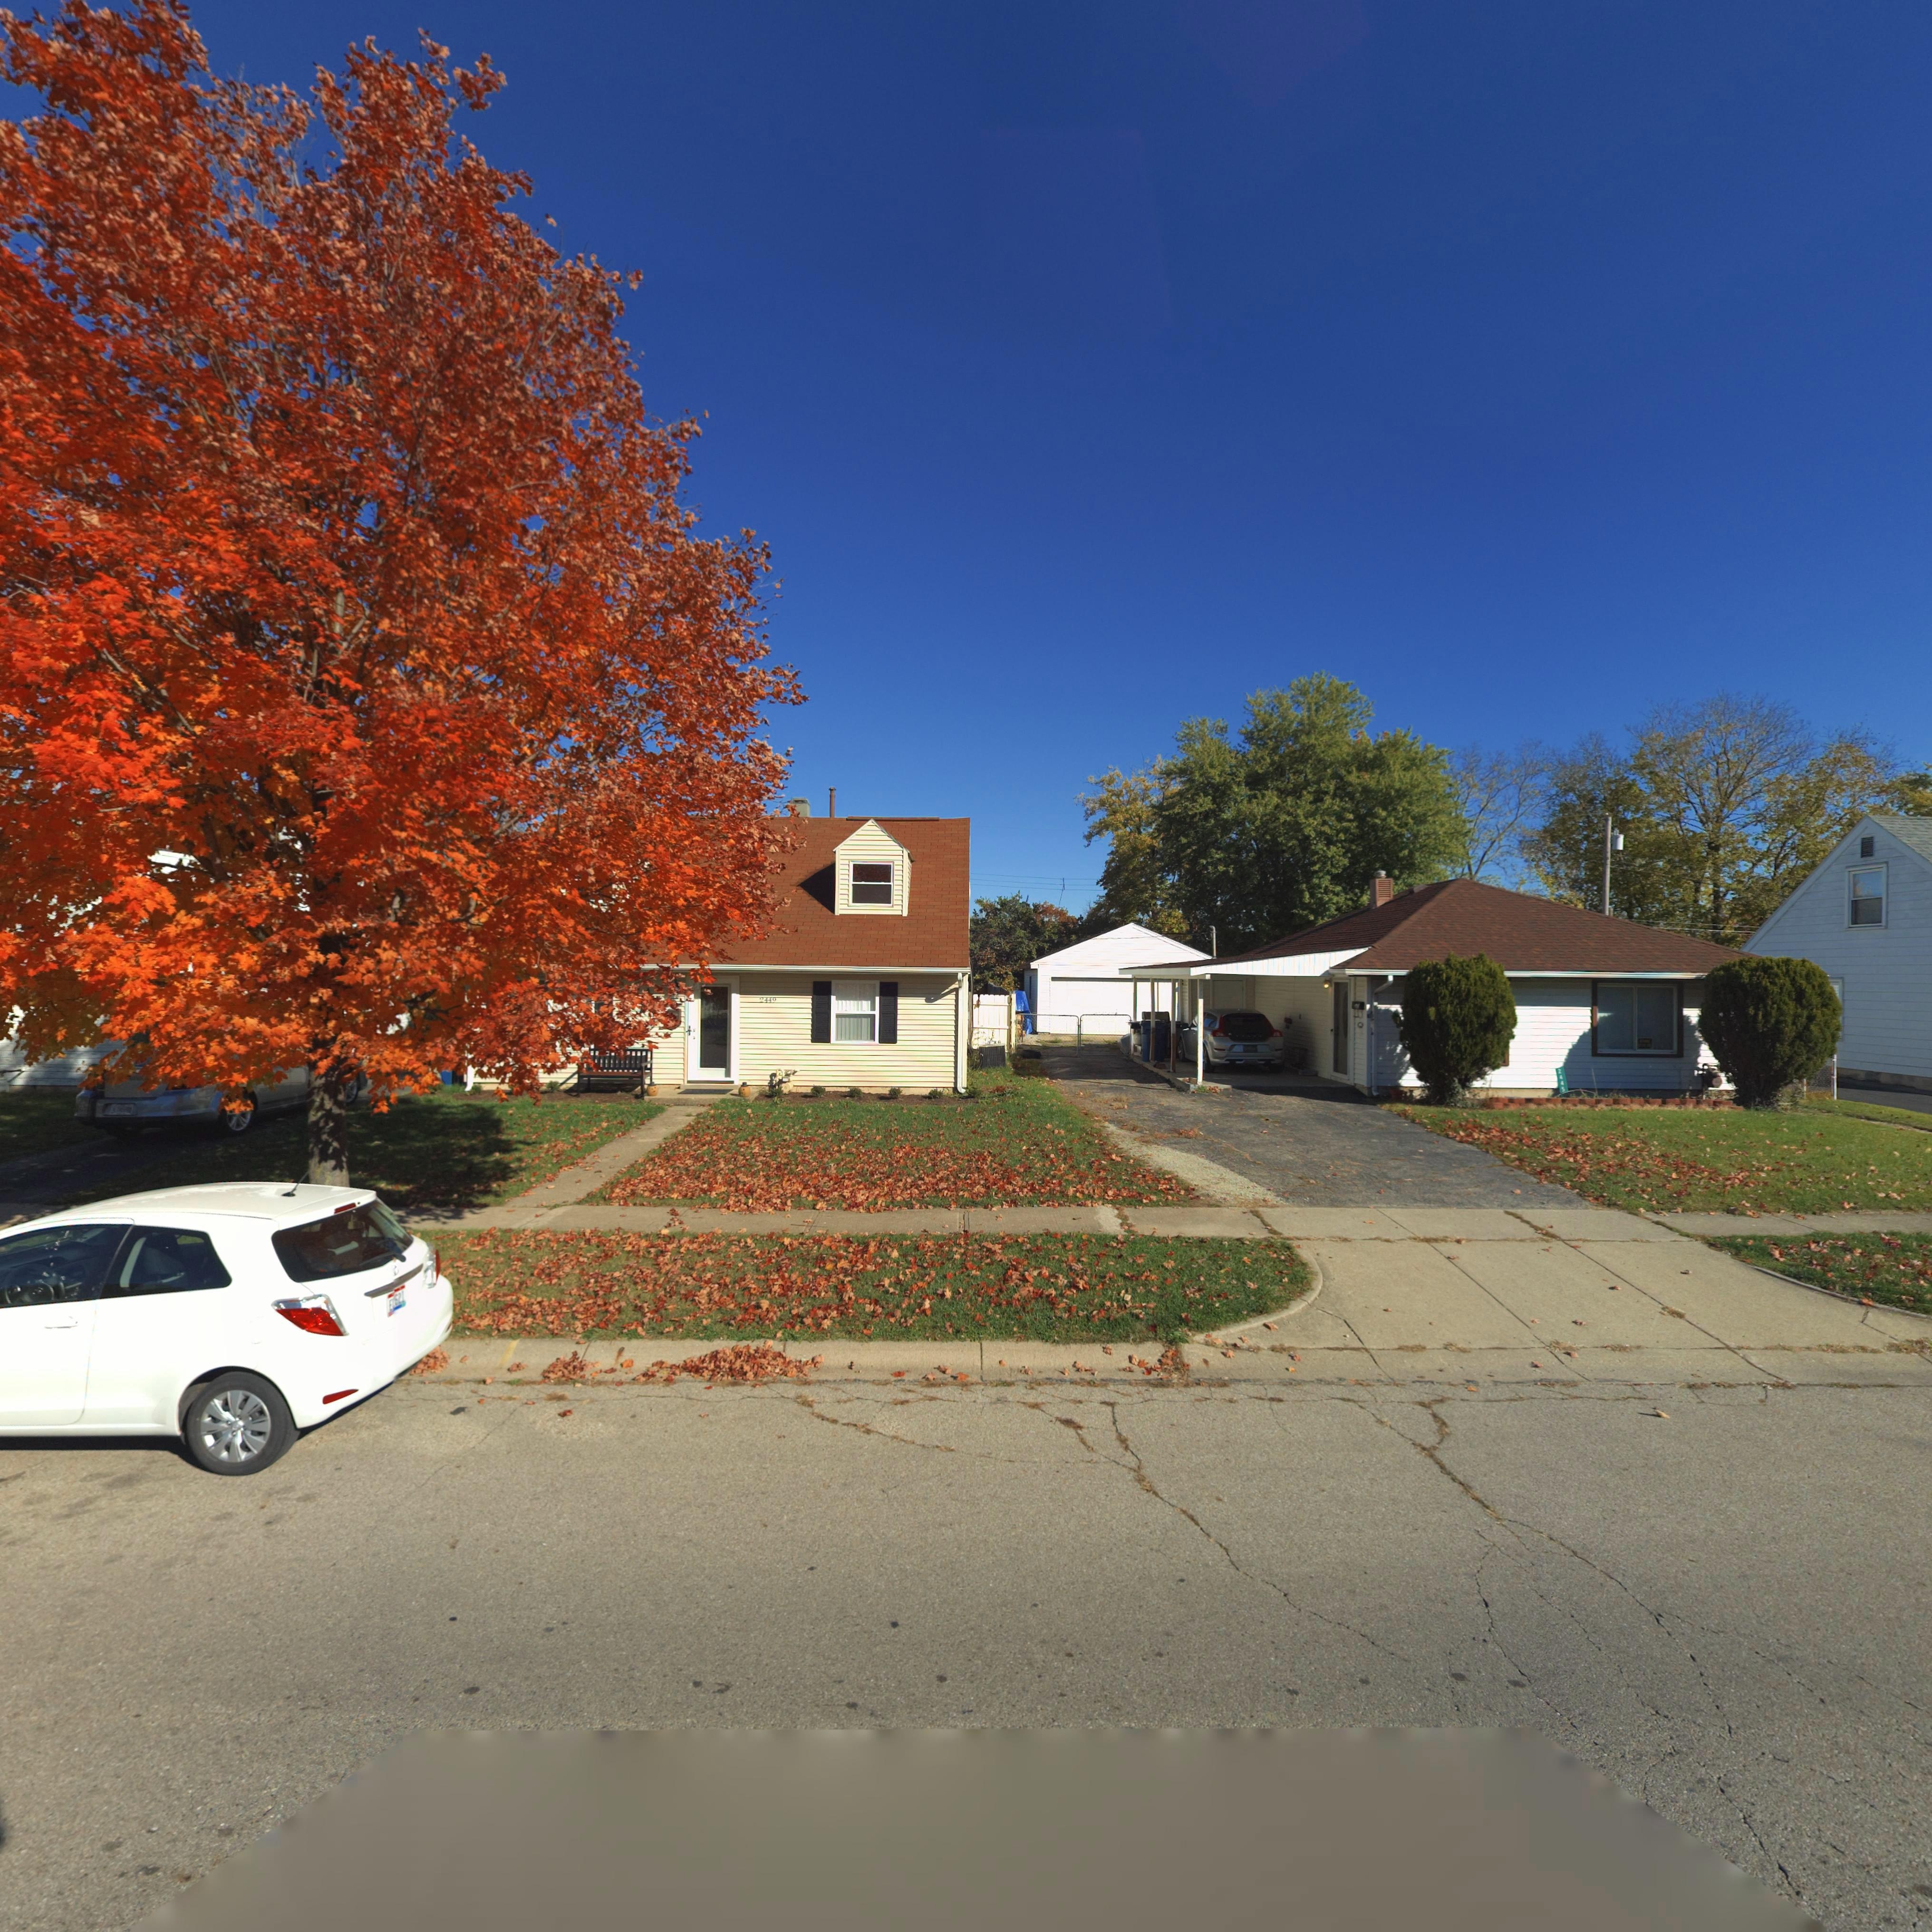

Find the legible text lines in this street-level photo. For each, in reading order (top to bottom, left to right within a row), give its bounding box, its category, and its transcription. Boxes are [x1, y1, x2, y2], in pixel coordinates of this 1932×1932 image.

[759, 996, 777, 1004] StreetNumber: 2449
[1556, 1067, 1567, 1093] StreetNumber: 2445
[388, 1290, 406, 1313] None: E*621